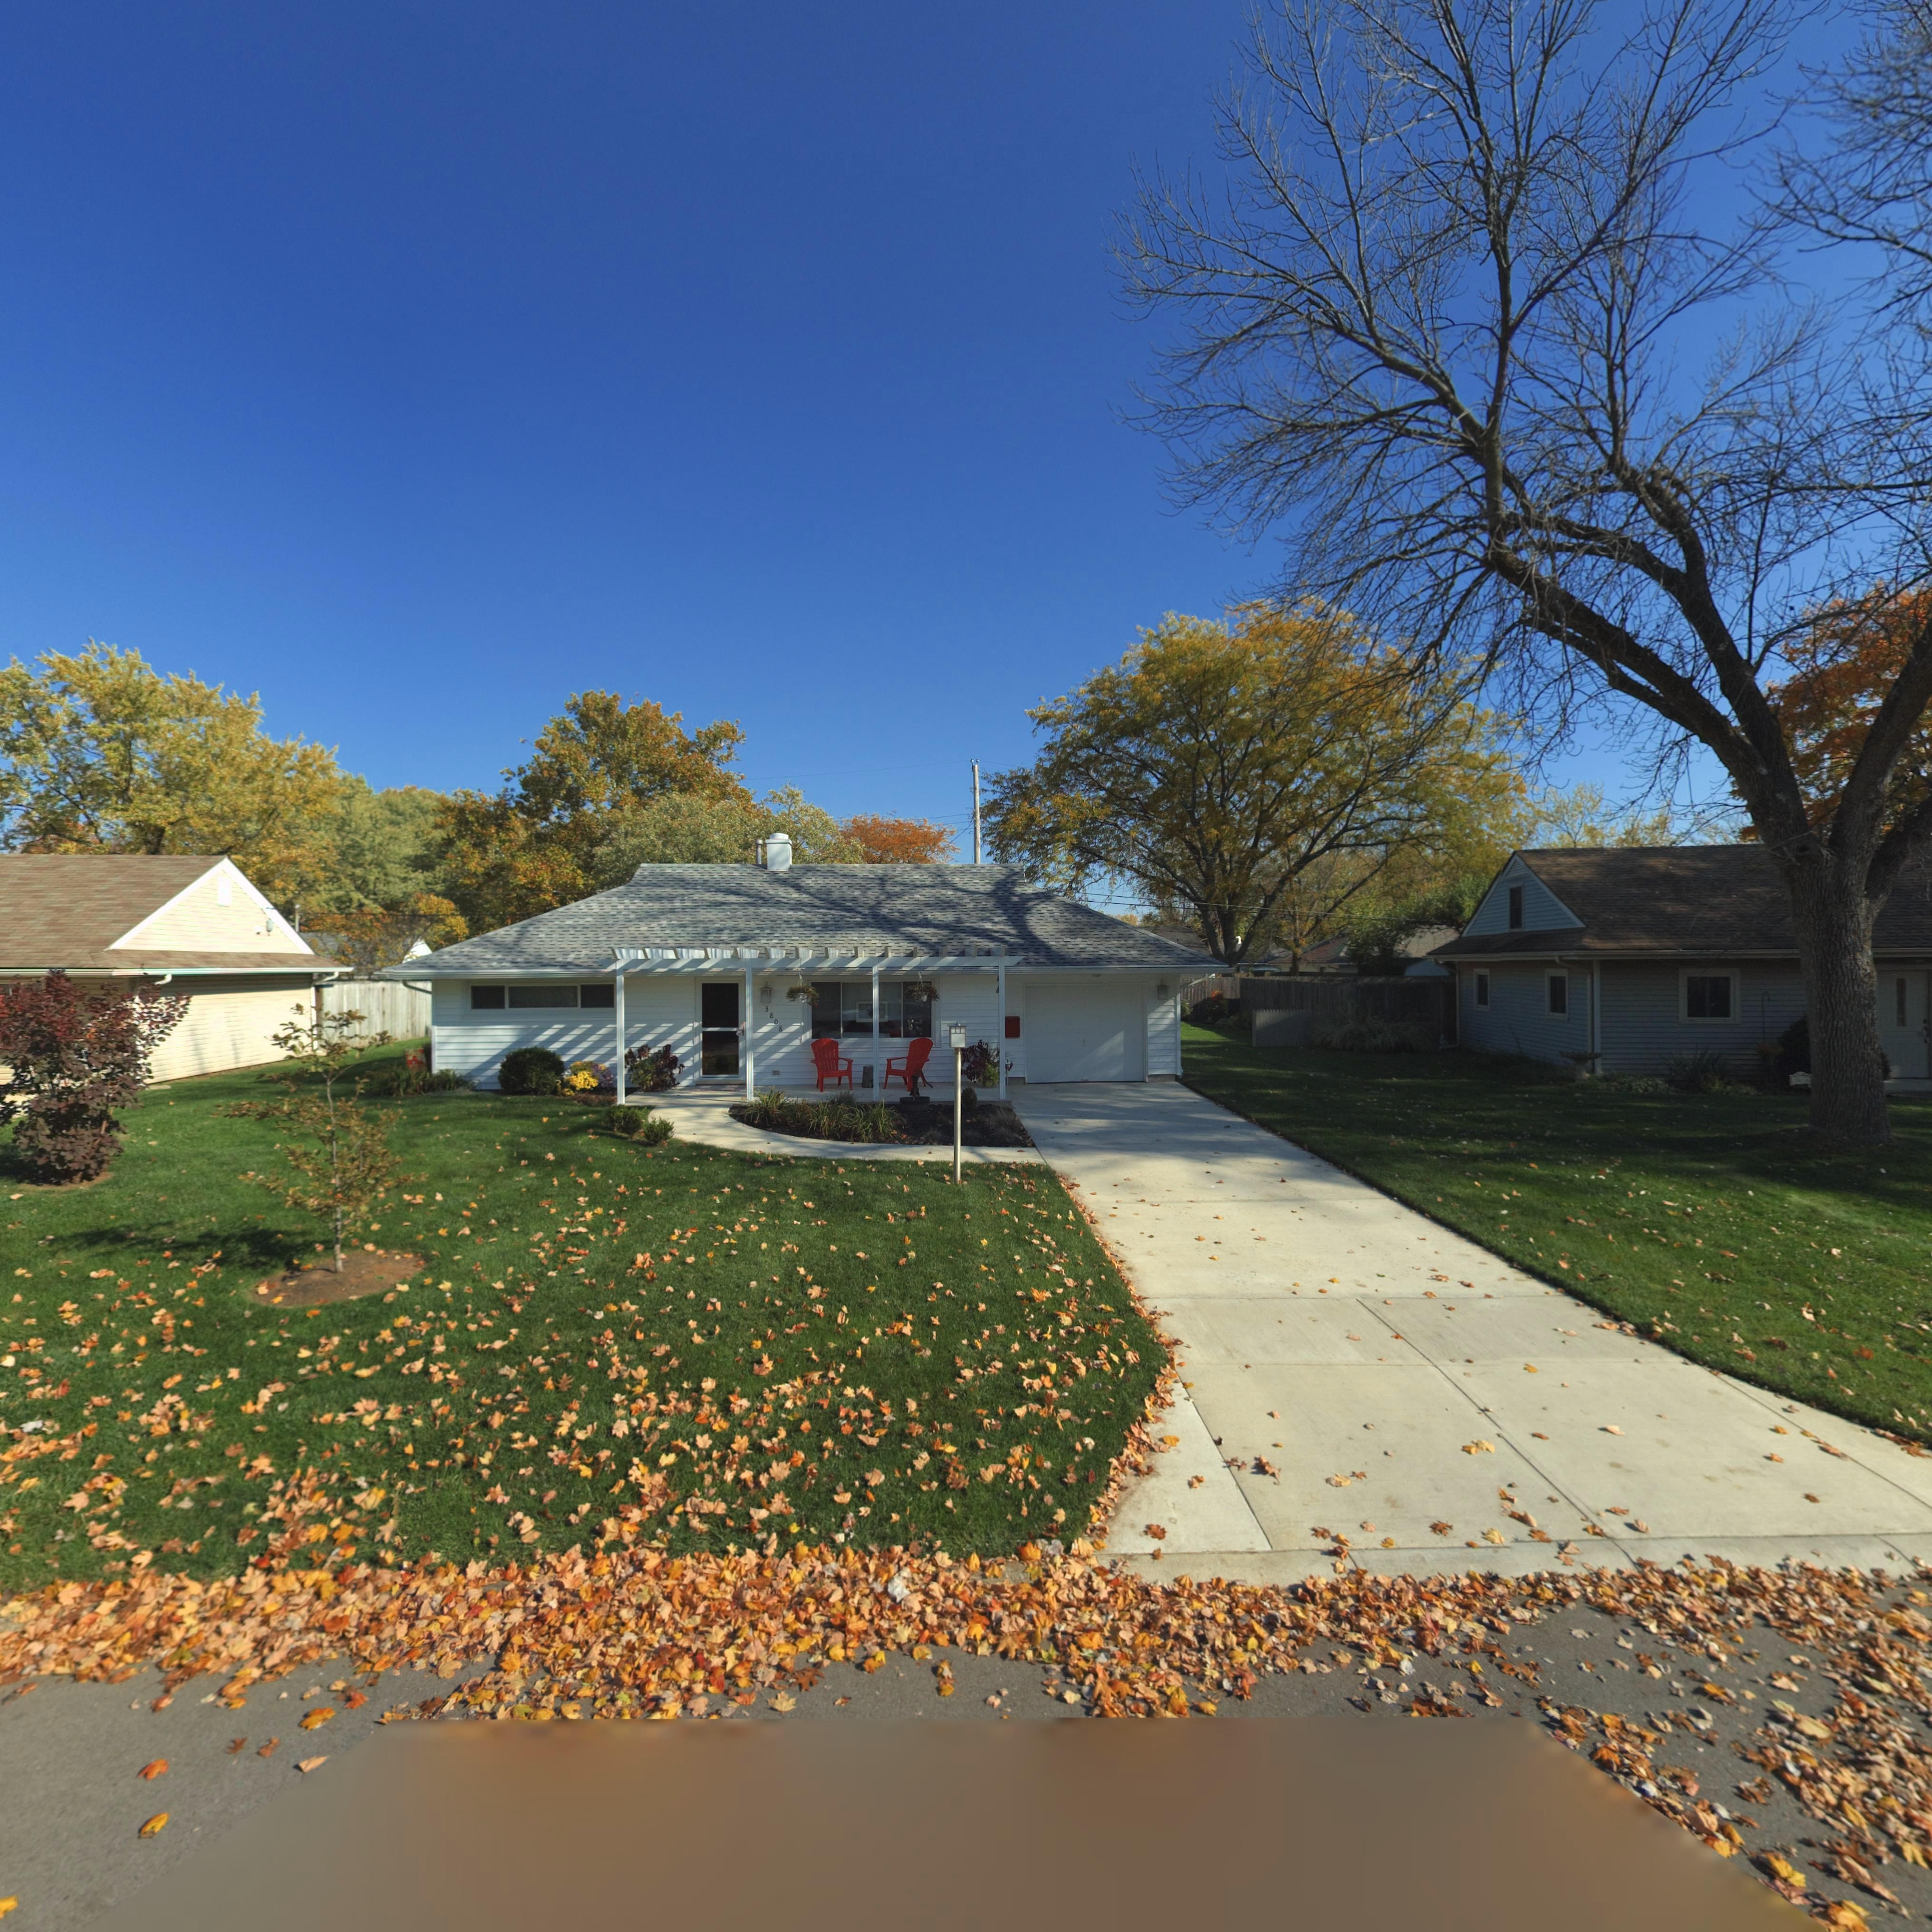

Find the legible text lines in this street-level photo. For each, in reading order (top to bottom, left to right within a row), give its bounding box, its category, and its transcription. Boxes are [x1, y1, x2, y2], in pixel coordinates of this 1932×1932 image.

[763, 1005, 784, 1033] StreetNumber: 3808